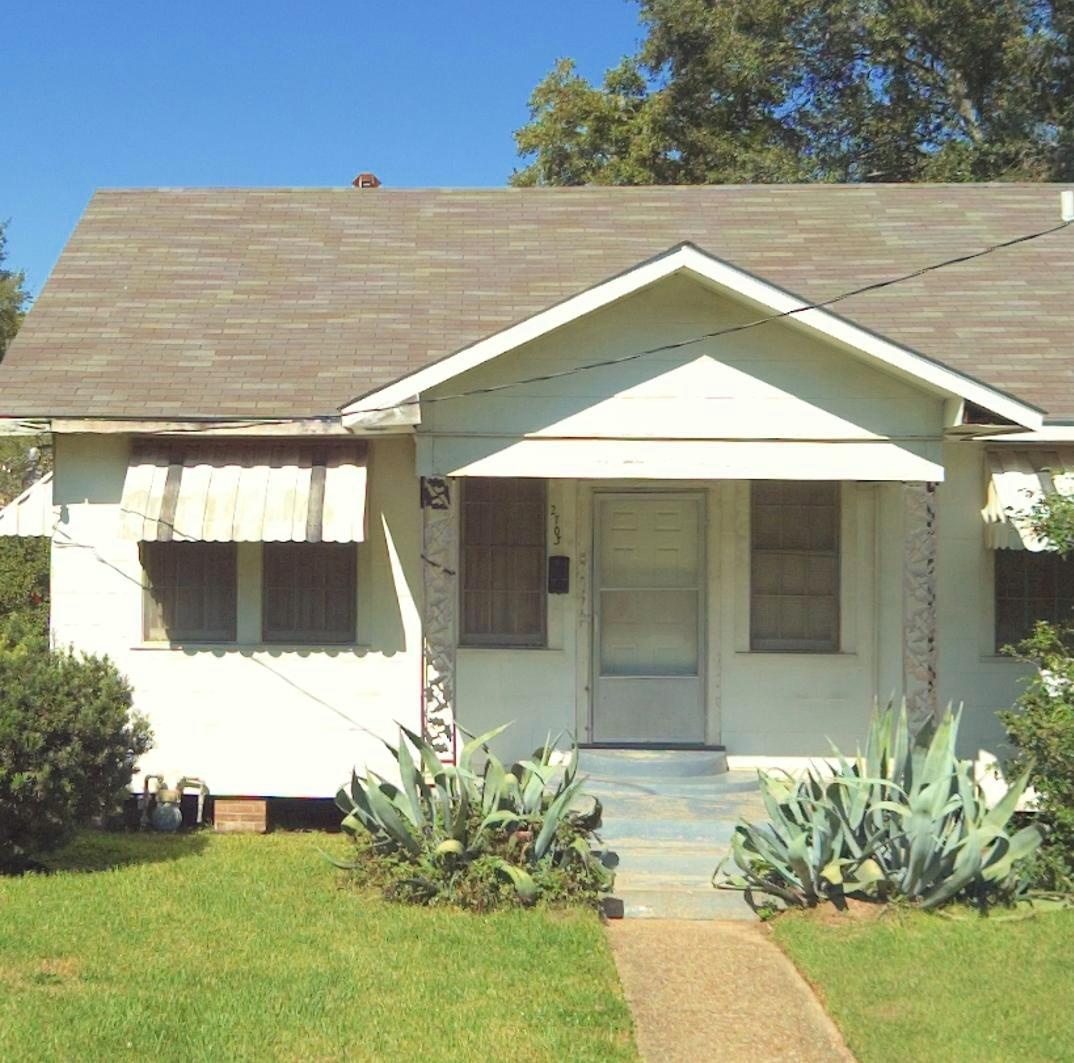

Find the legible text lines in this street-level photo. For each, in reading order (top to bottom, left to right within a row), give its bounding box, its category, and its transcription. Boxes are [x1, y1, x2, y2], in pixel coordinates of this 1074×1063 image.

[549, 503, 563, 547] StreetNumber: 270*